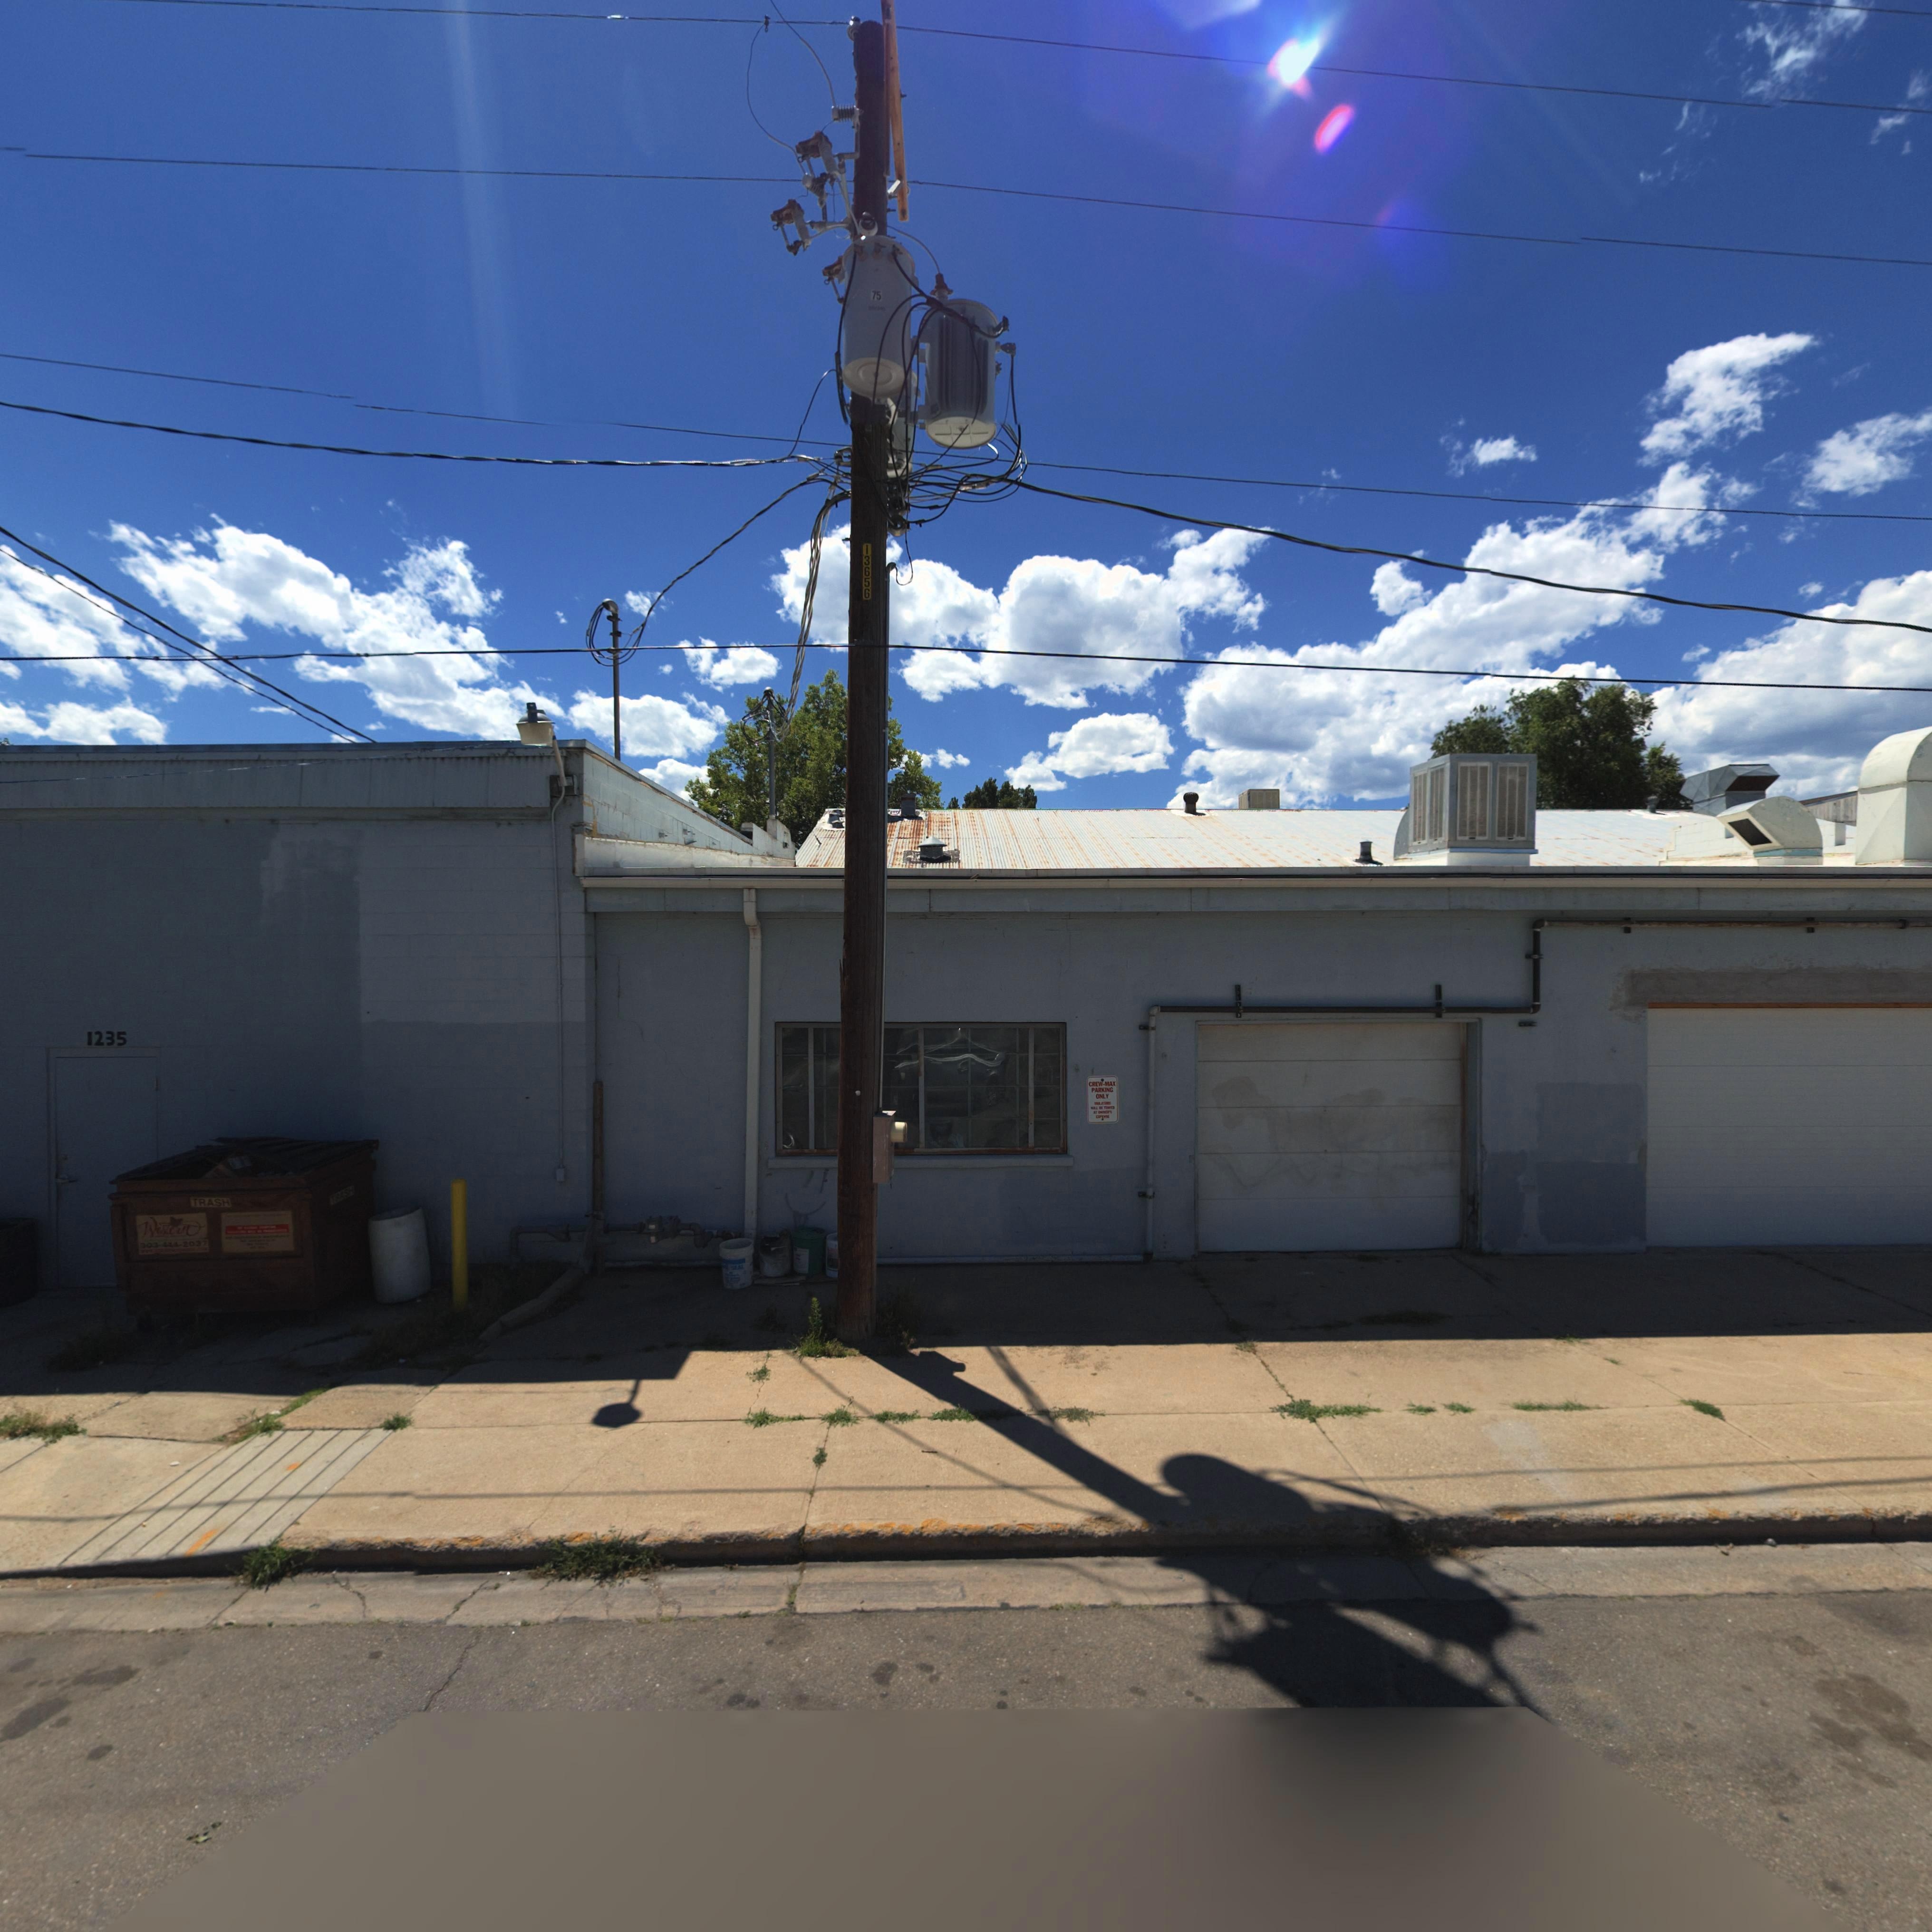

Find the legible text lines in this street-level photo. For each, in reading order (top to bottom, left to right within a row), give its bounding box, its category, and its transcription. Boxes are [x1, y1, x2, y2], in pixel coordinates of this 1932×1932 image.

[86, 1030, 127, 1047] StreetNumber: 1235